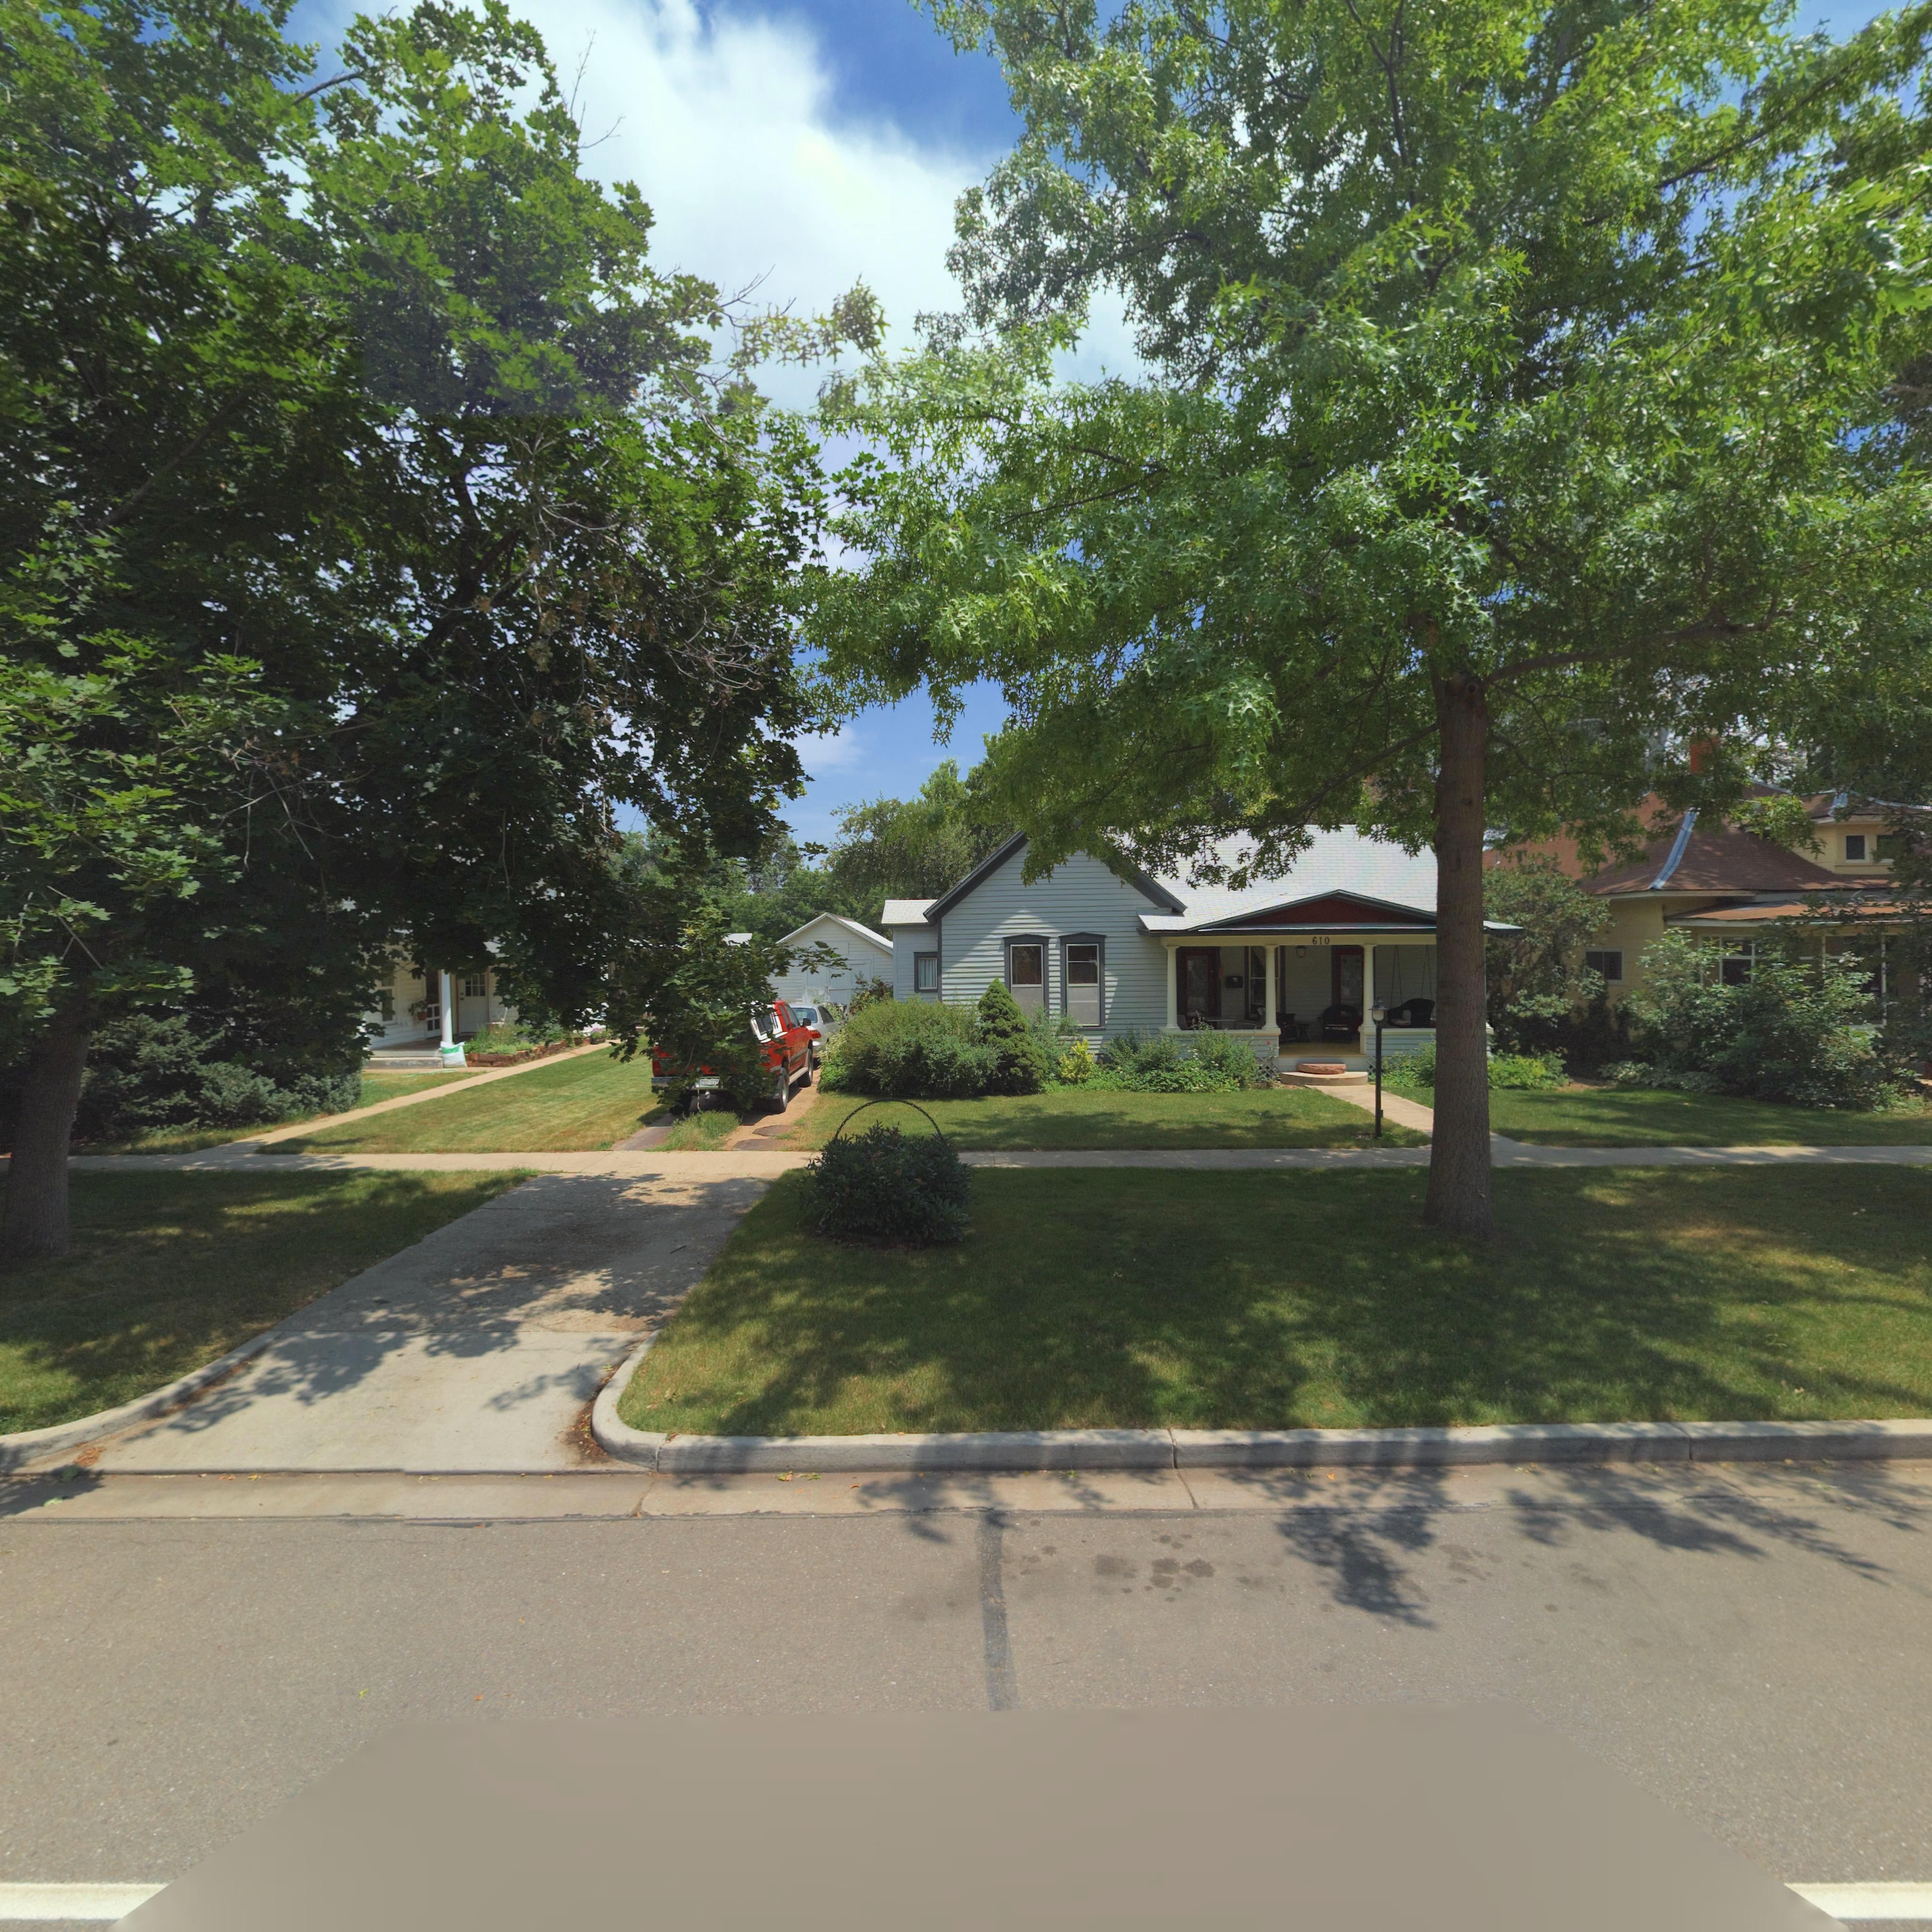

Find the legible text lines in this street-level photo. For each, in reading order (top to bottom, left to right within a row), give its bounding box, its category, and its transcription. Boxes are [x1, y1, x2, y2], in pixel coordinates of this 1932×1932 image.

[1312, 936, 1330, 945] StreetNumber: 610